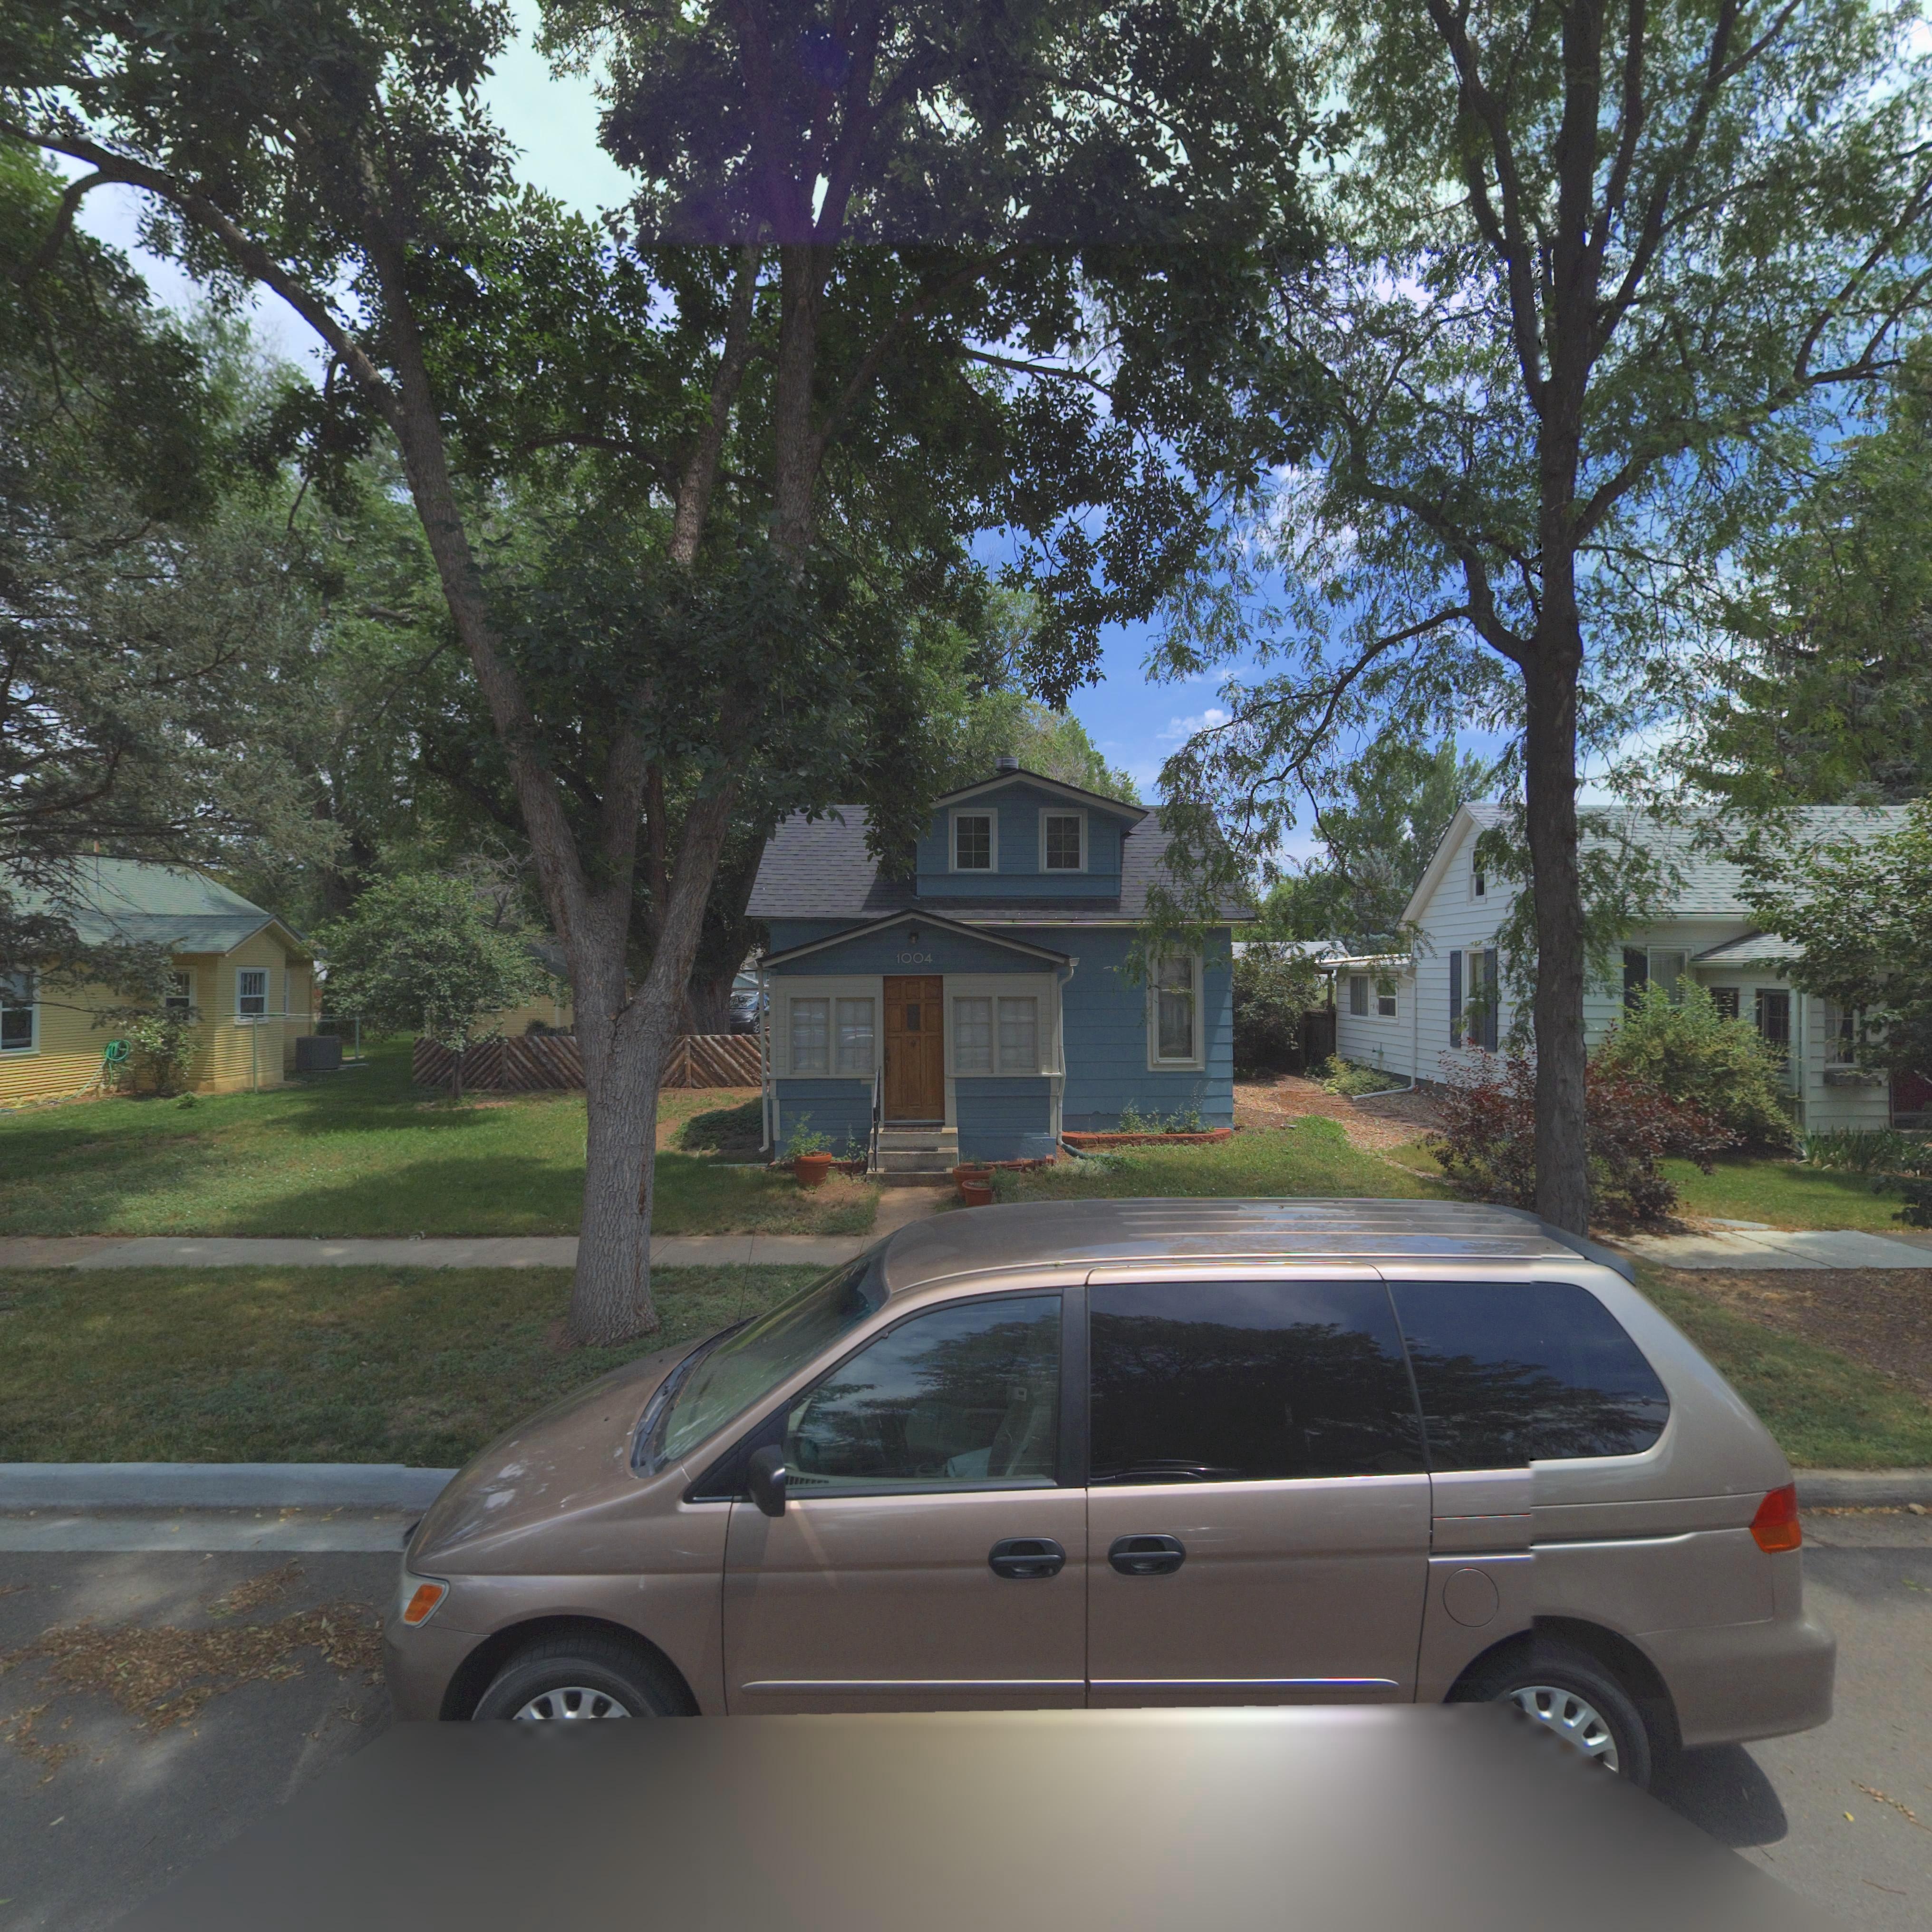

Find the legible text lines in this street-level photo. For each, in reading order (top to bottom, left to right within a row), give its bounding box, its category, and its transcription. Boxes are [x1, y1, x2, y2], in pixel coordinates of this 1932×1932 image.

[894, 952, 933, 964] StreetNumber: 1004